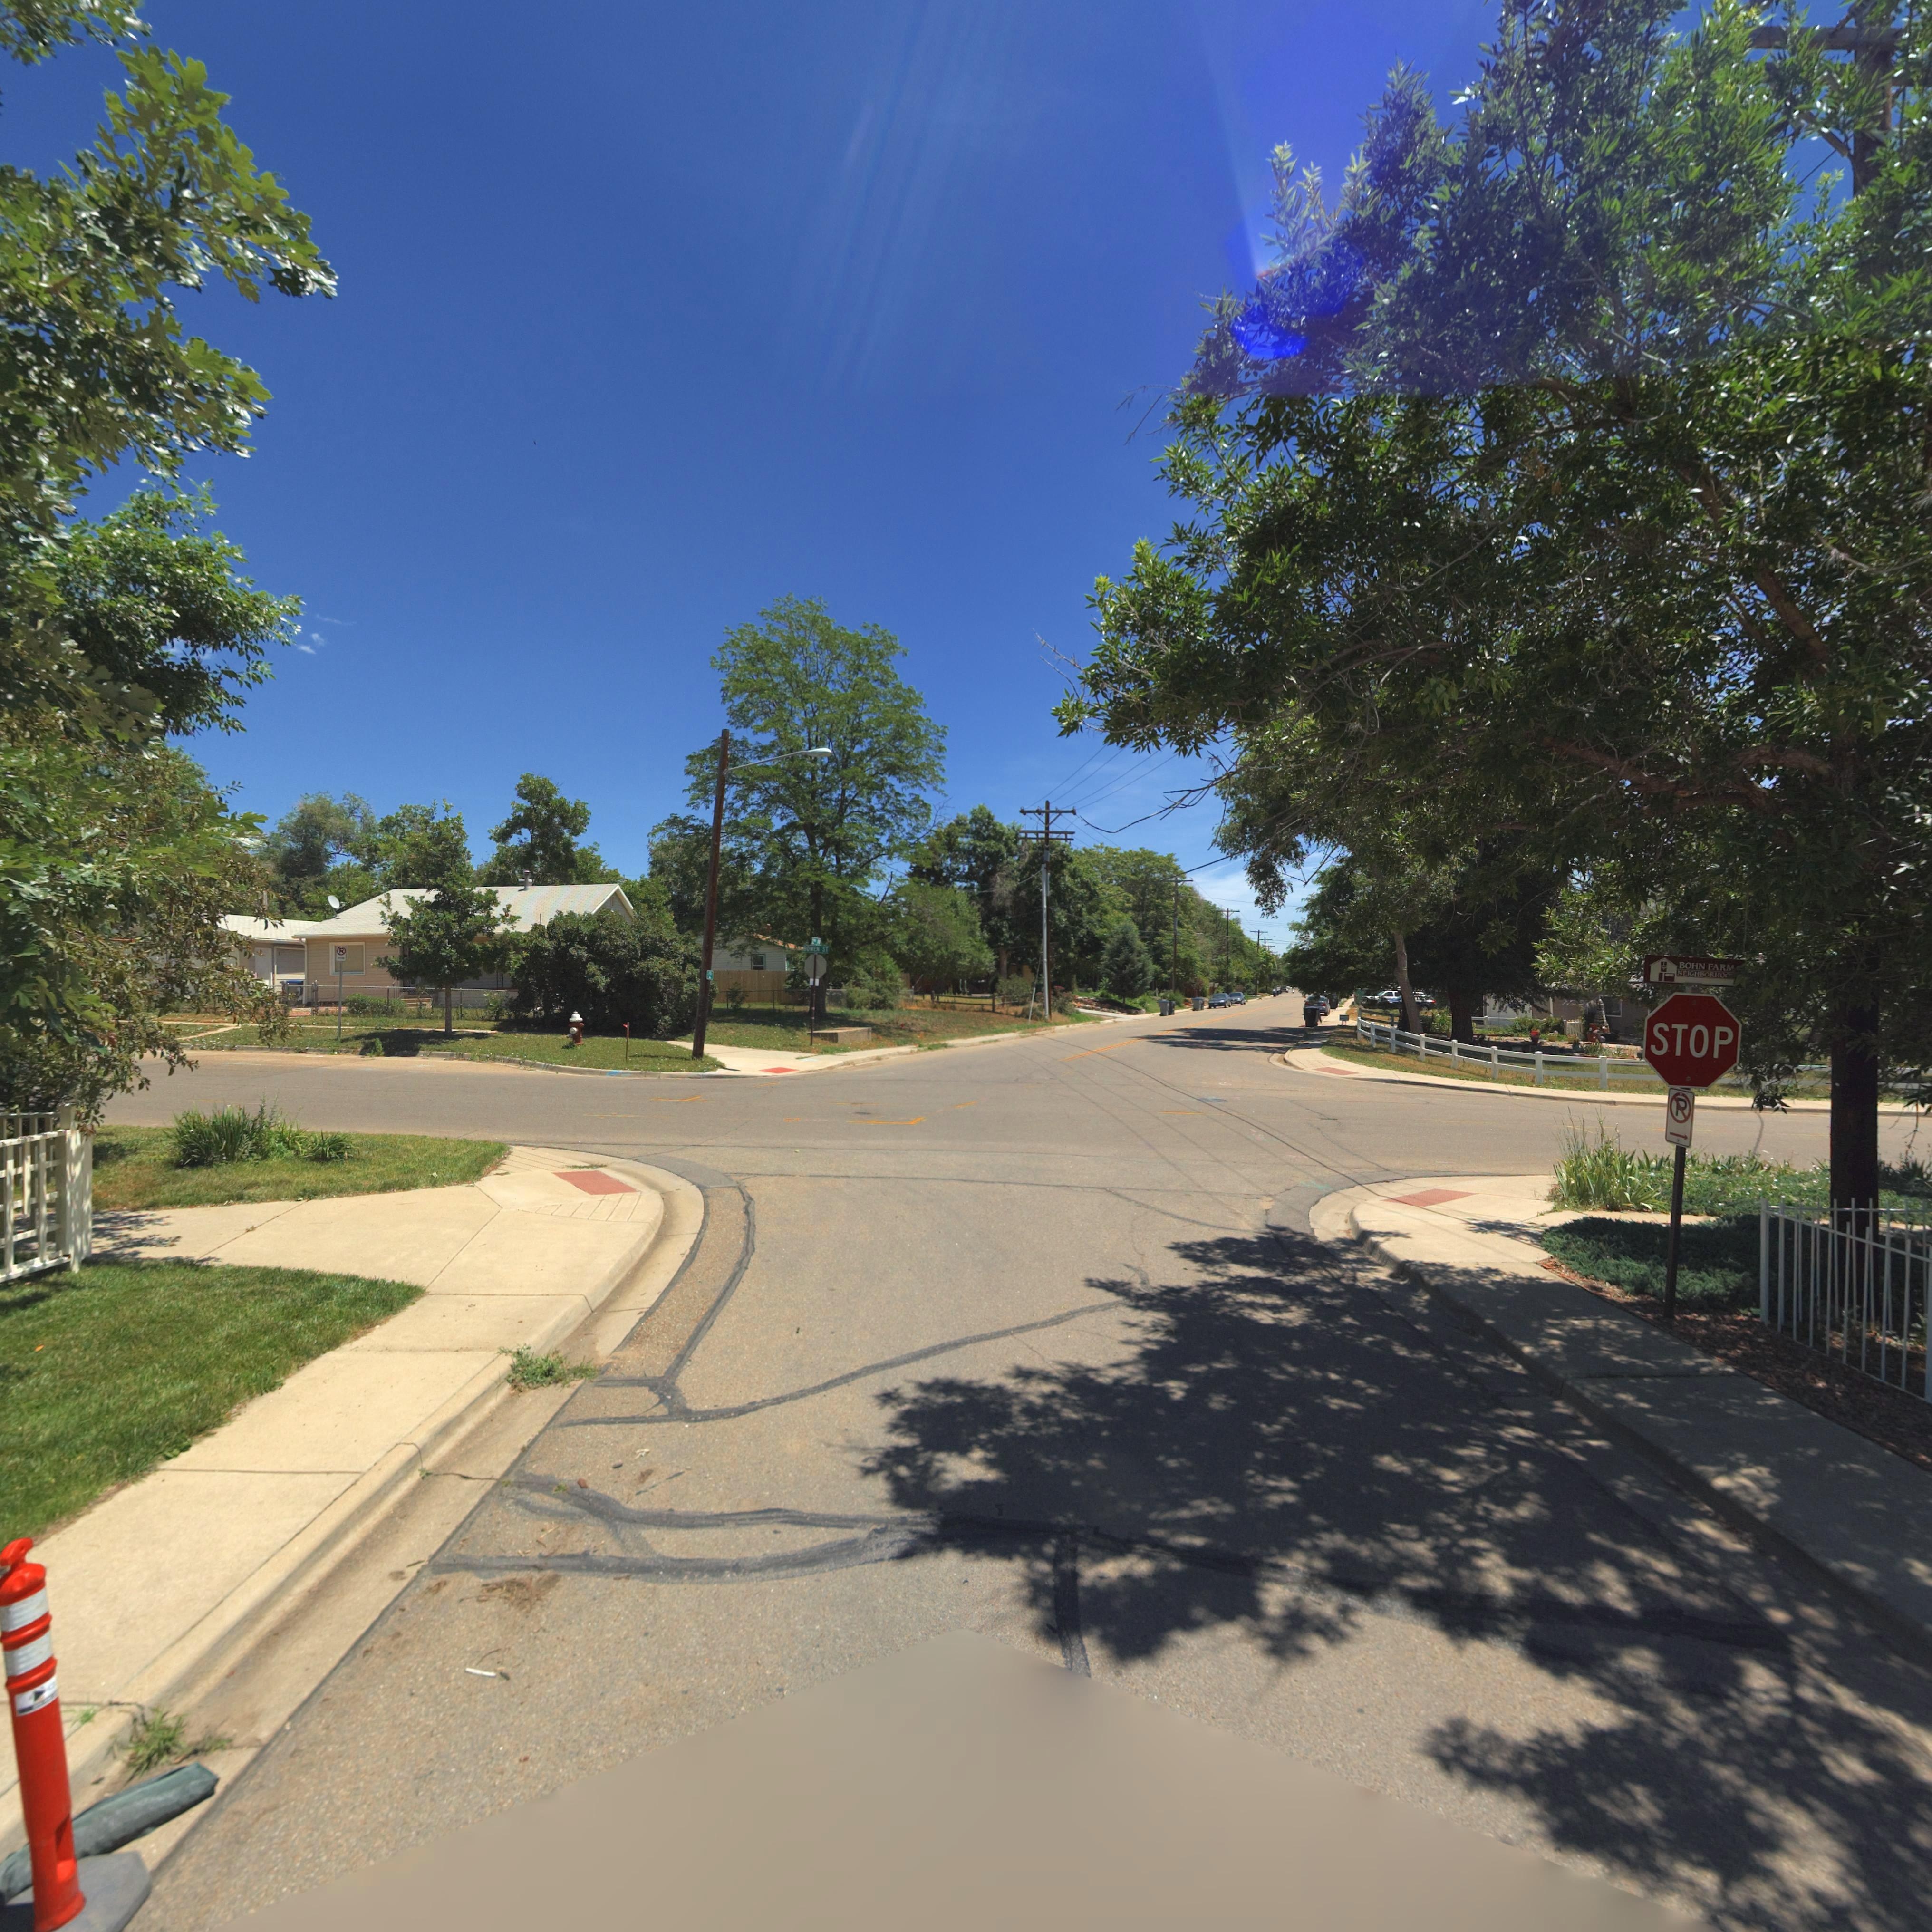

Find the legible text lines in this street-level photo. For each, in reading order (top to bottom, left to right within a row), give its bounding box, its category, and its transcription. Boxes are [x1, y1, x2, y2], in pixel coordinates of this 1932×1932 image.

[811, 938, 821, 944] StreetName: 2ND AV
[802, 945, 829, 952] StreetName: BOWEN ST
[1650, 1022, 1734, 1059] BusinessName: STOP